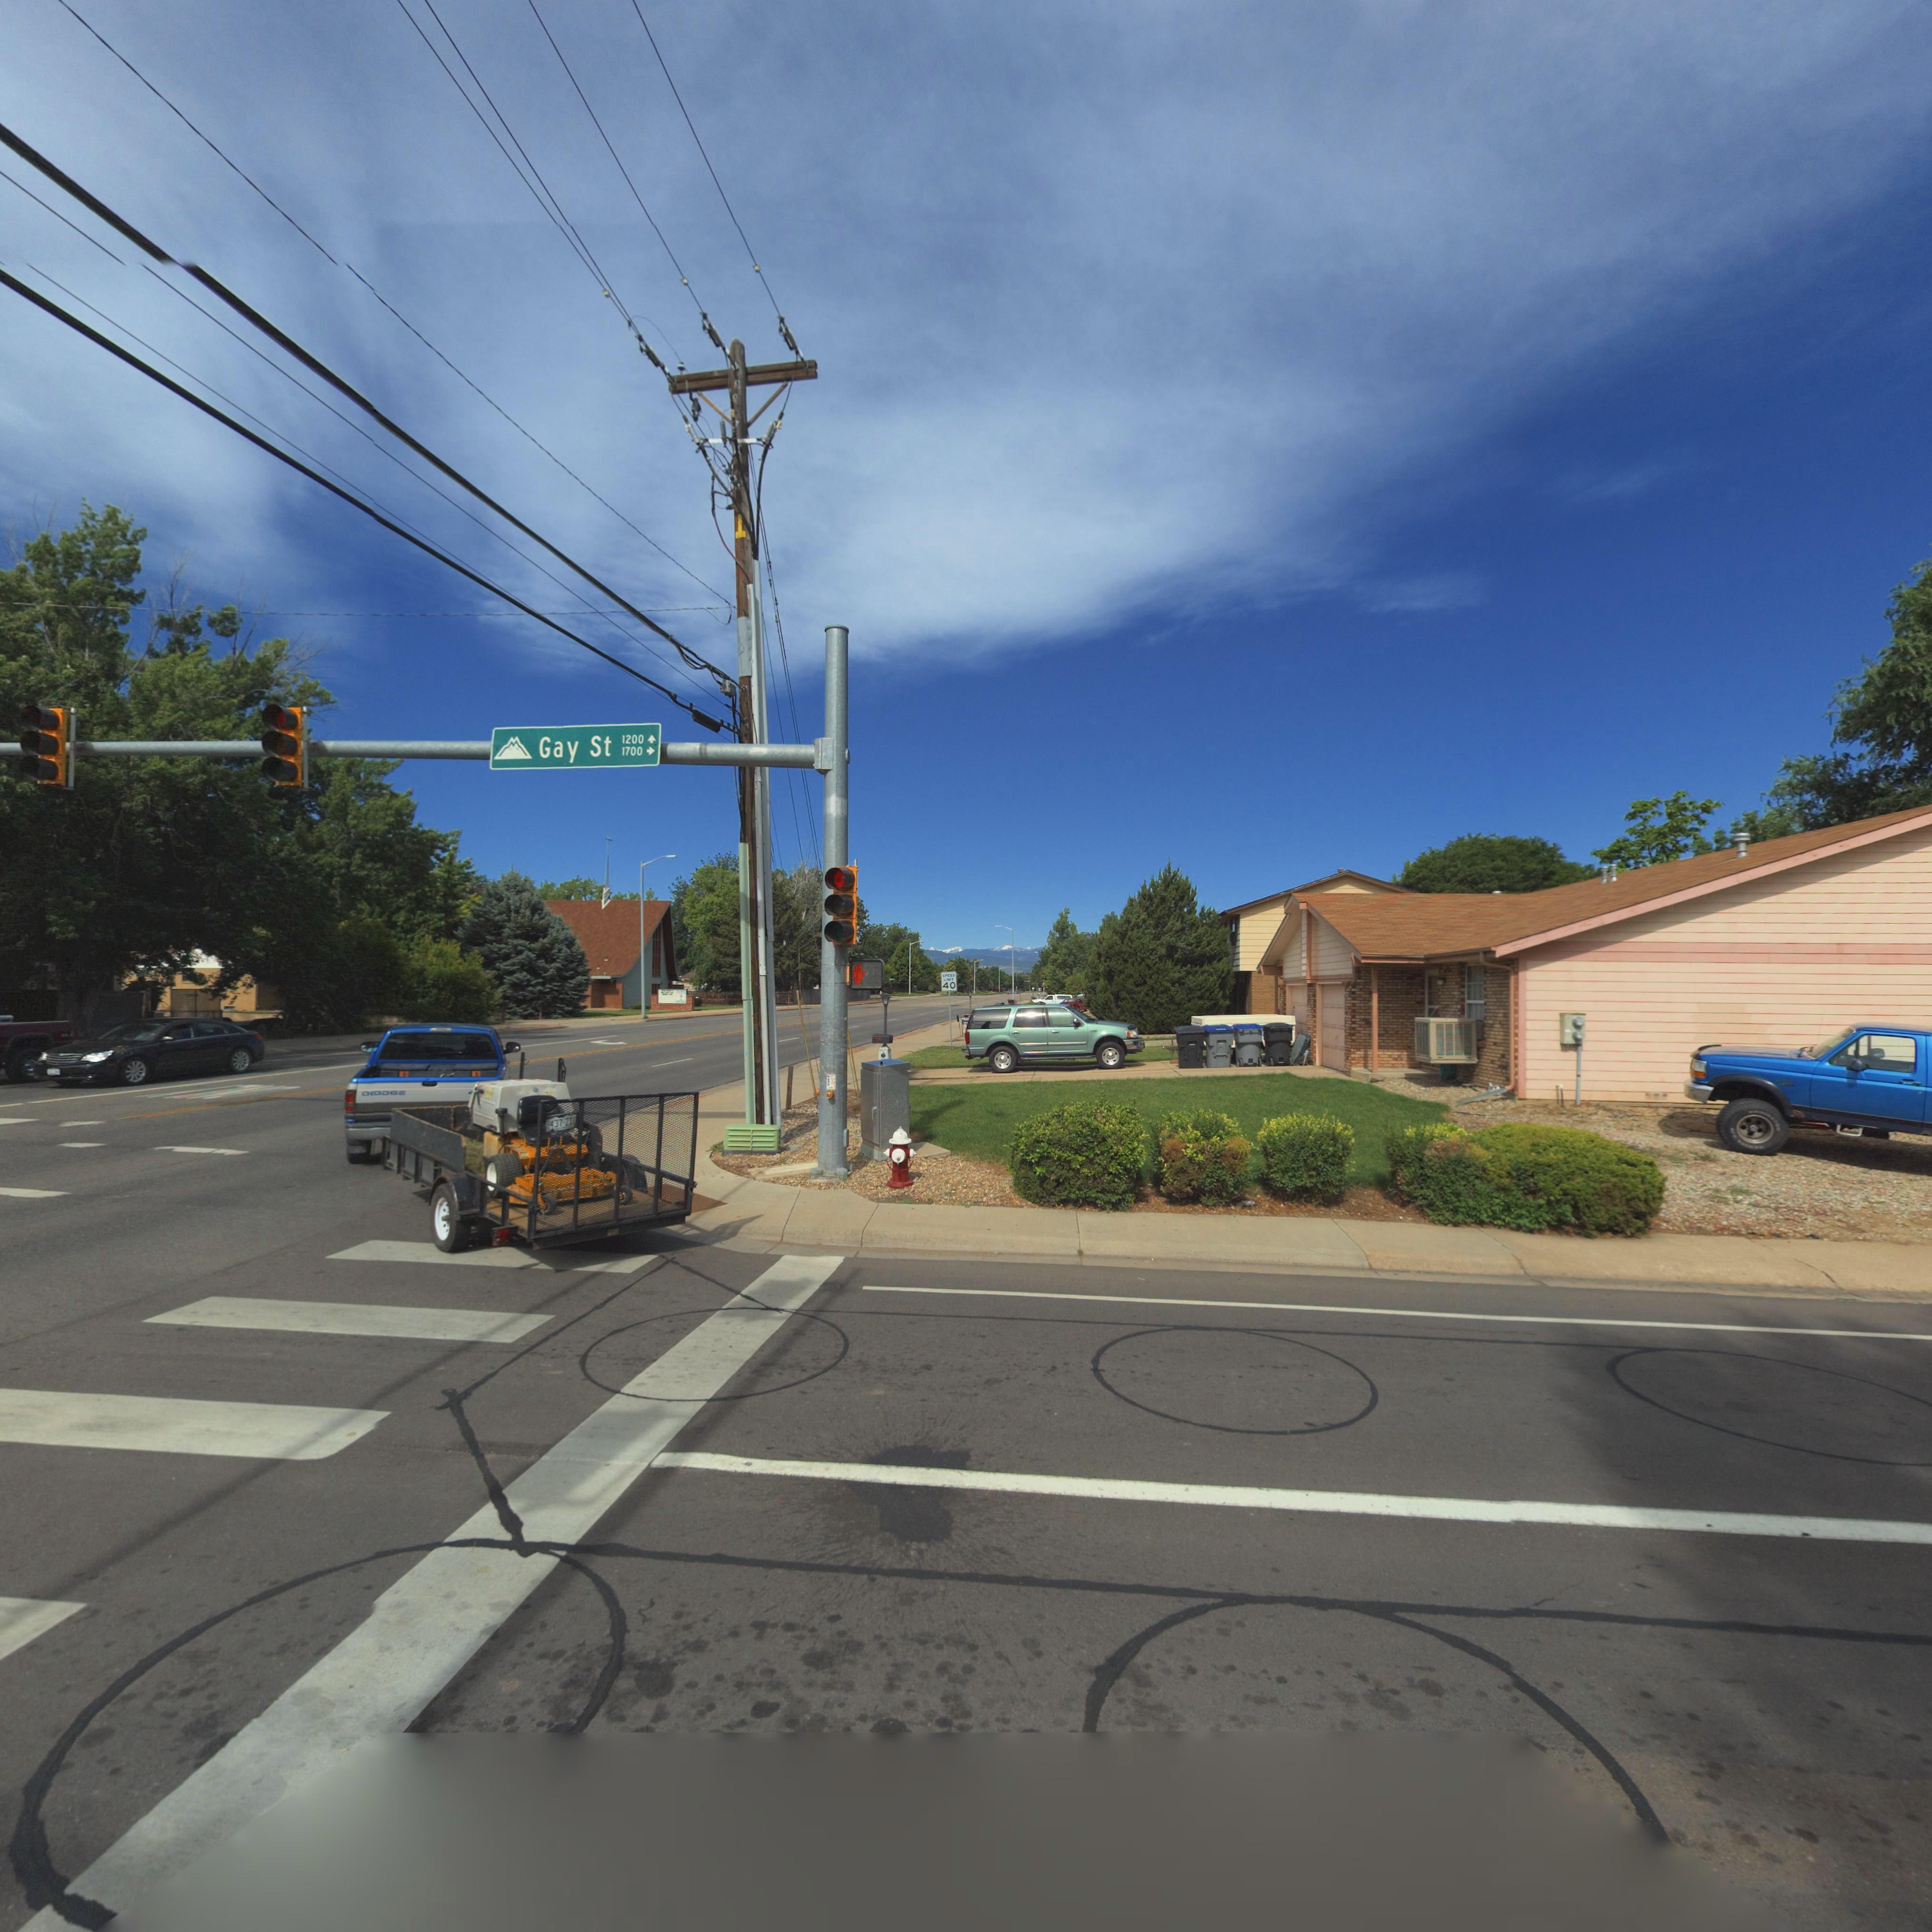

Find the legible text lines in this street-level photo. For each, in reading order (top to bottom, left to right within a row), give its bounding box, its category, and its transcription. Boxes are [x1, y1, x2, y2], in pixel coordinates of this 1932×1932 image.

[621, 734, 644, 744] StreetNumberRange: 1200
[538, 734, 612, 764] StreetName: Gay St
[621, 746, 656, 756] StreetNumberRange: 1700->